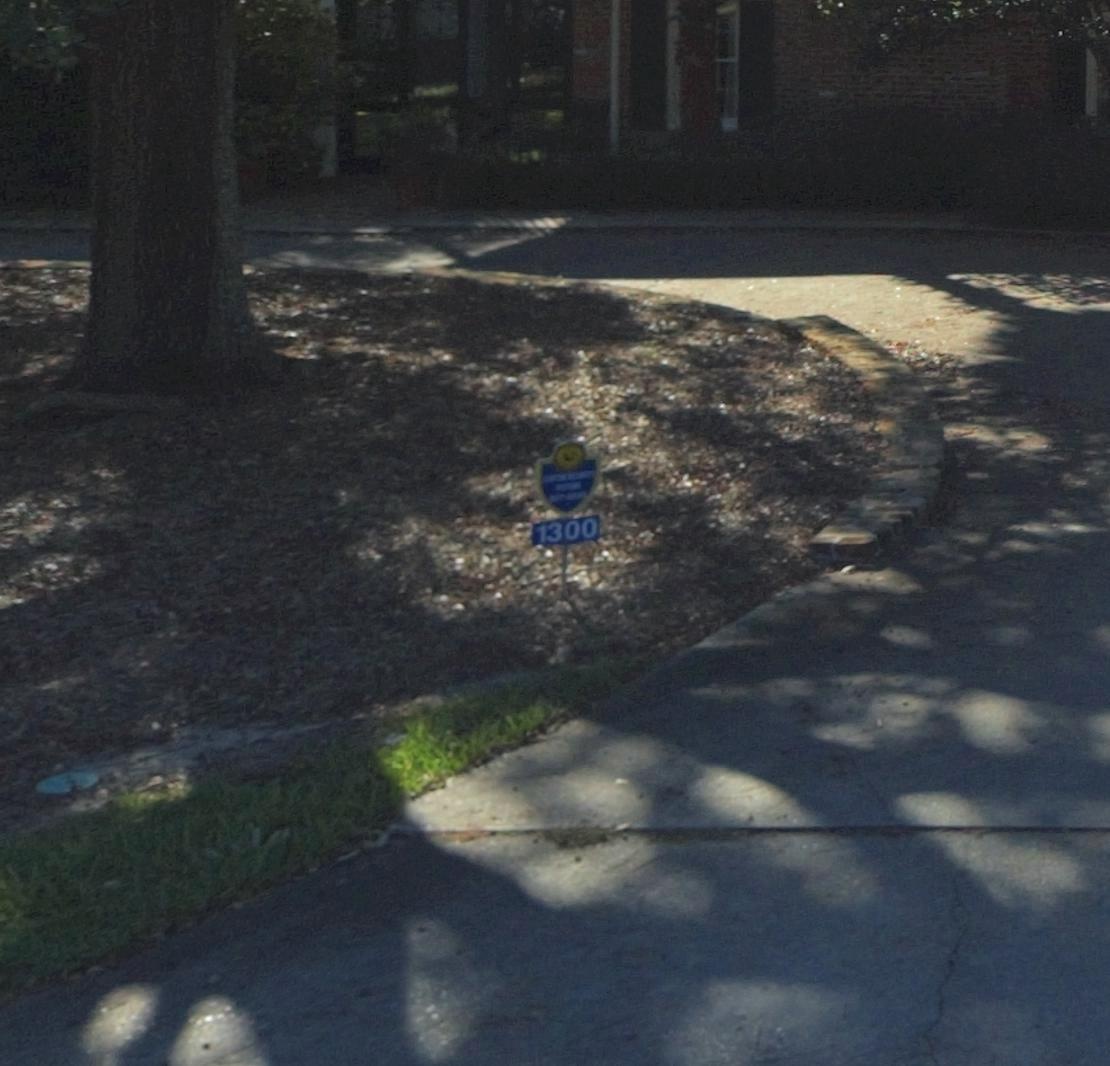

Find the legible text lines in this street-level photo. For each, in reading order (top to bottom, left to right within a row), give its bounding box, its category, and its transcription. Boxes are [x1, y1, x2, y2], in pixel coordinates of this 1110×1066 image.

[533, 515, 600, 546] StreetNumber: 1300